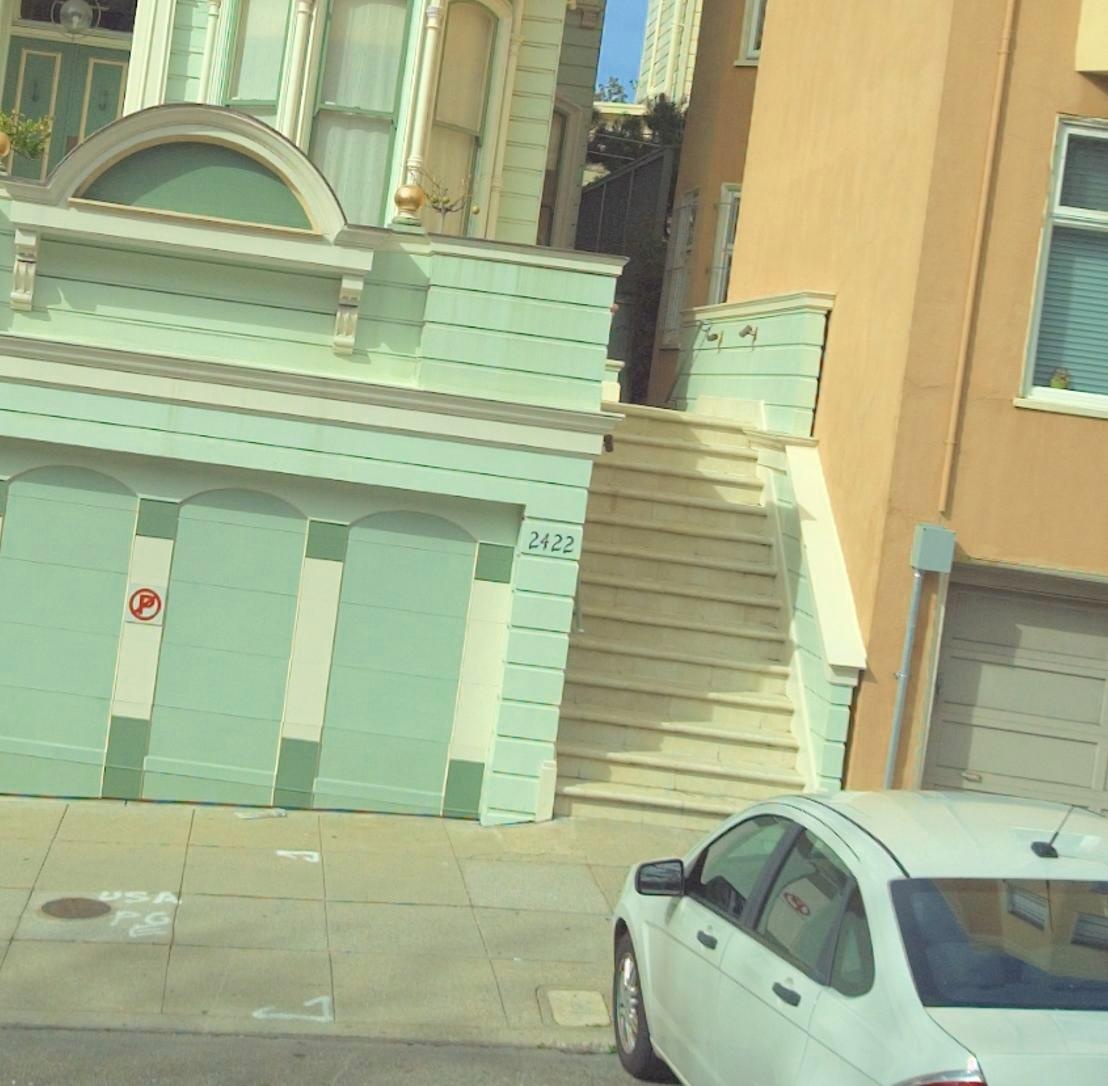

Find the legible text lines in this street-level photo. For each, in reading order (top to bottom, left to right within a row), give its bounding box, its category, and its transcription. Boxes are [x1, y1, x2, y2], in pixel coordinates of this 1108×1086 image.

[528, 529, 575, 556] StreetNumber: 2422